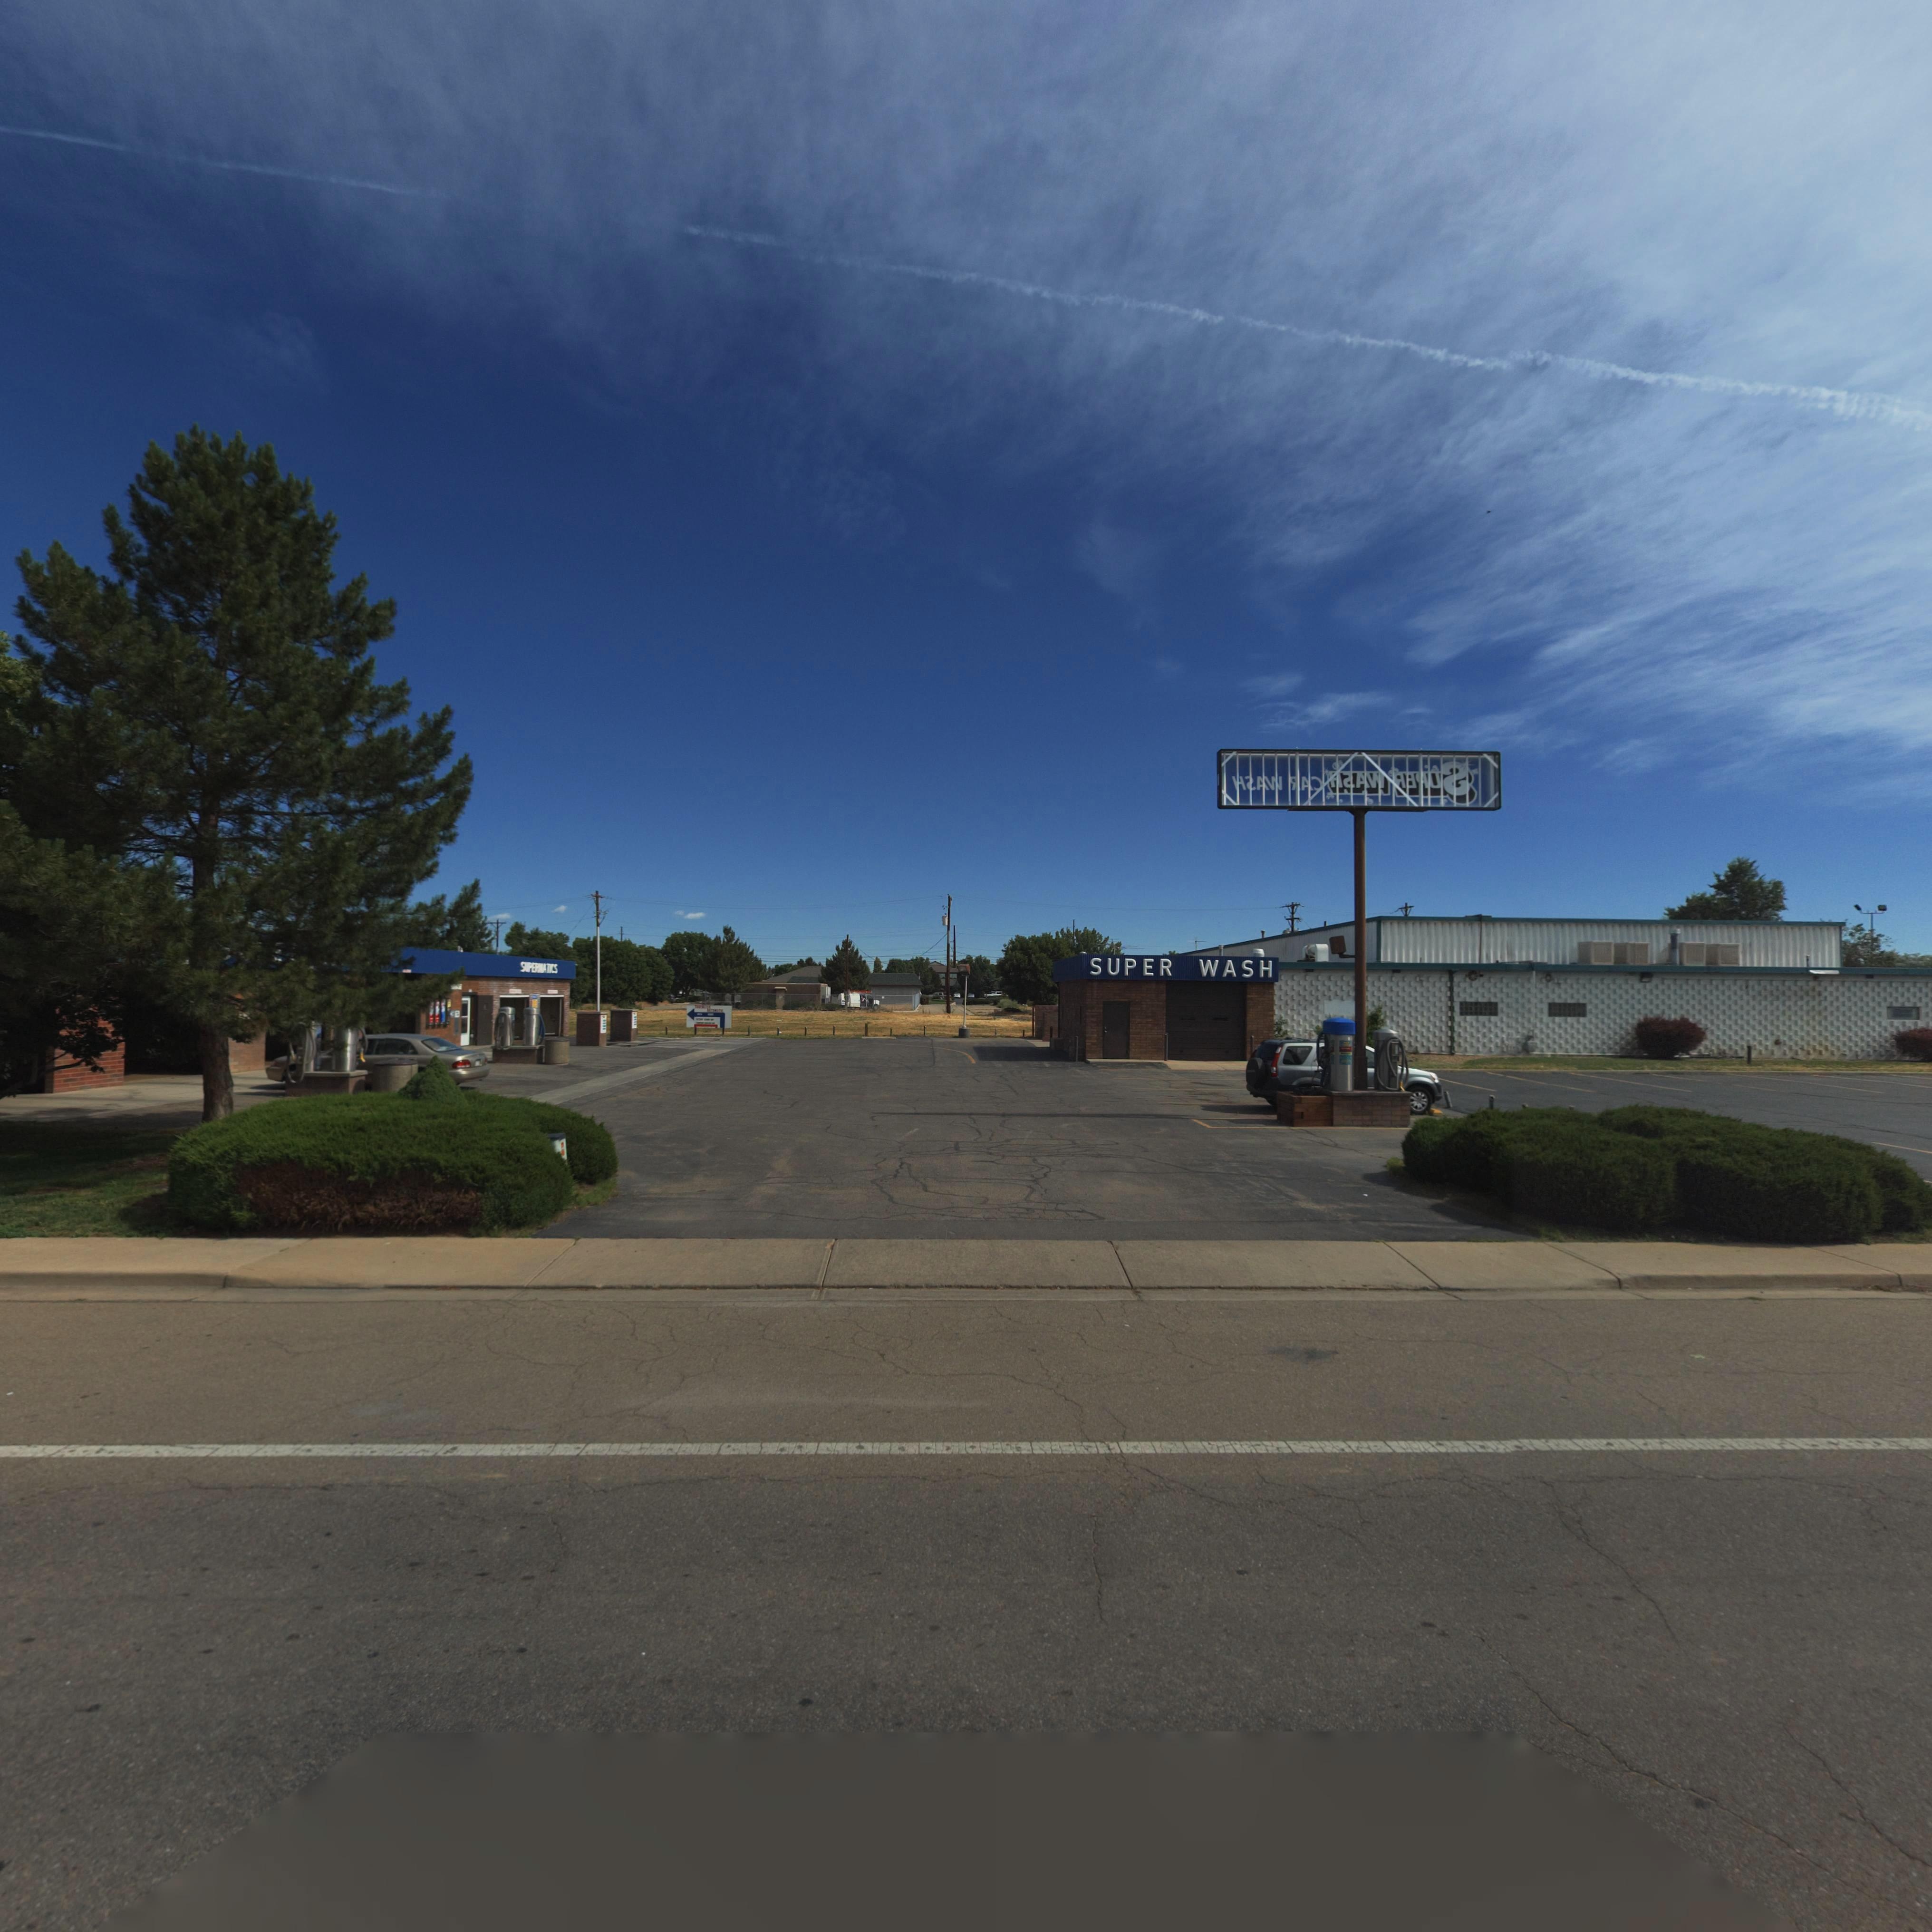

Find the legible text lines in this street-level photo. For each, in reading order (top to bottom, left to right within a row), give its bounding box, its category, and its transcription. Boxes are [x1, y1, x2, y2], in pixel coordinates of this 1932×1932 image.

[1327, 760, 1471, 796] BusinessName: H*AW ***U*
[1089, 956, 1273, 978] BusinessName: SUPER WASH